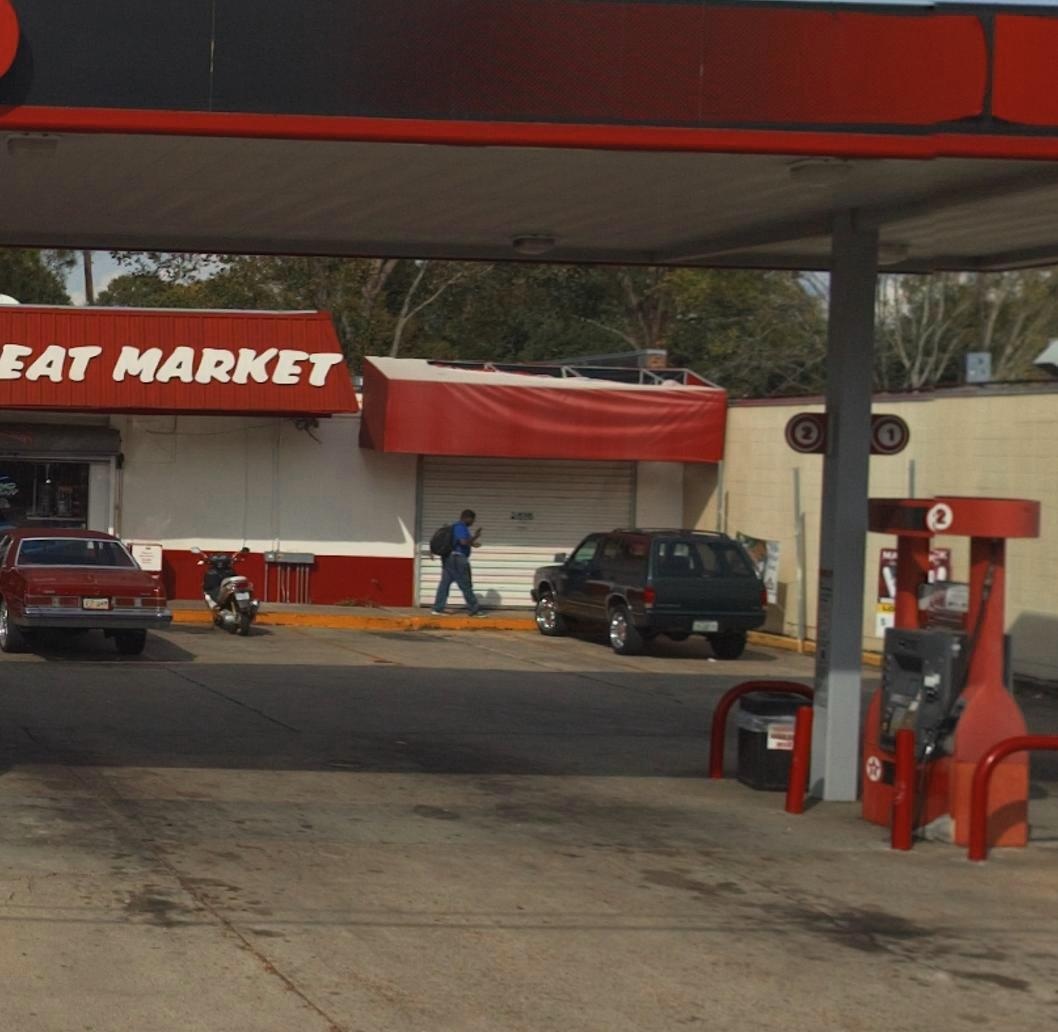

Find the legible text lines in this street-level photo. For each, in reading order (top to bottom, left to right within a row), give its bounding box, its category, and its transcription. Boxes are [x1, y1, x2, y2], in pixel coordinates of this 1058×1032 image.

[0, 341, 346, 390] None: *AT MARKET
[798, 422, 815, 441] None: 2
[885, 426, 897, 442] None: 1
[509, 510, 535, 522] StreetNumber: 2***
[934, 506, 948, 527] None: 2